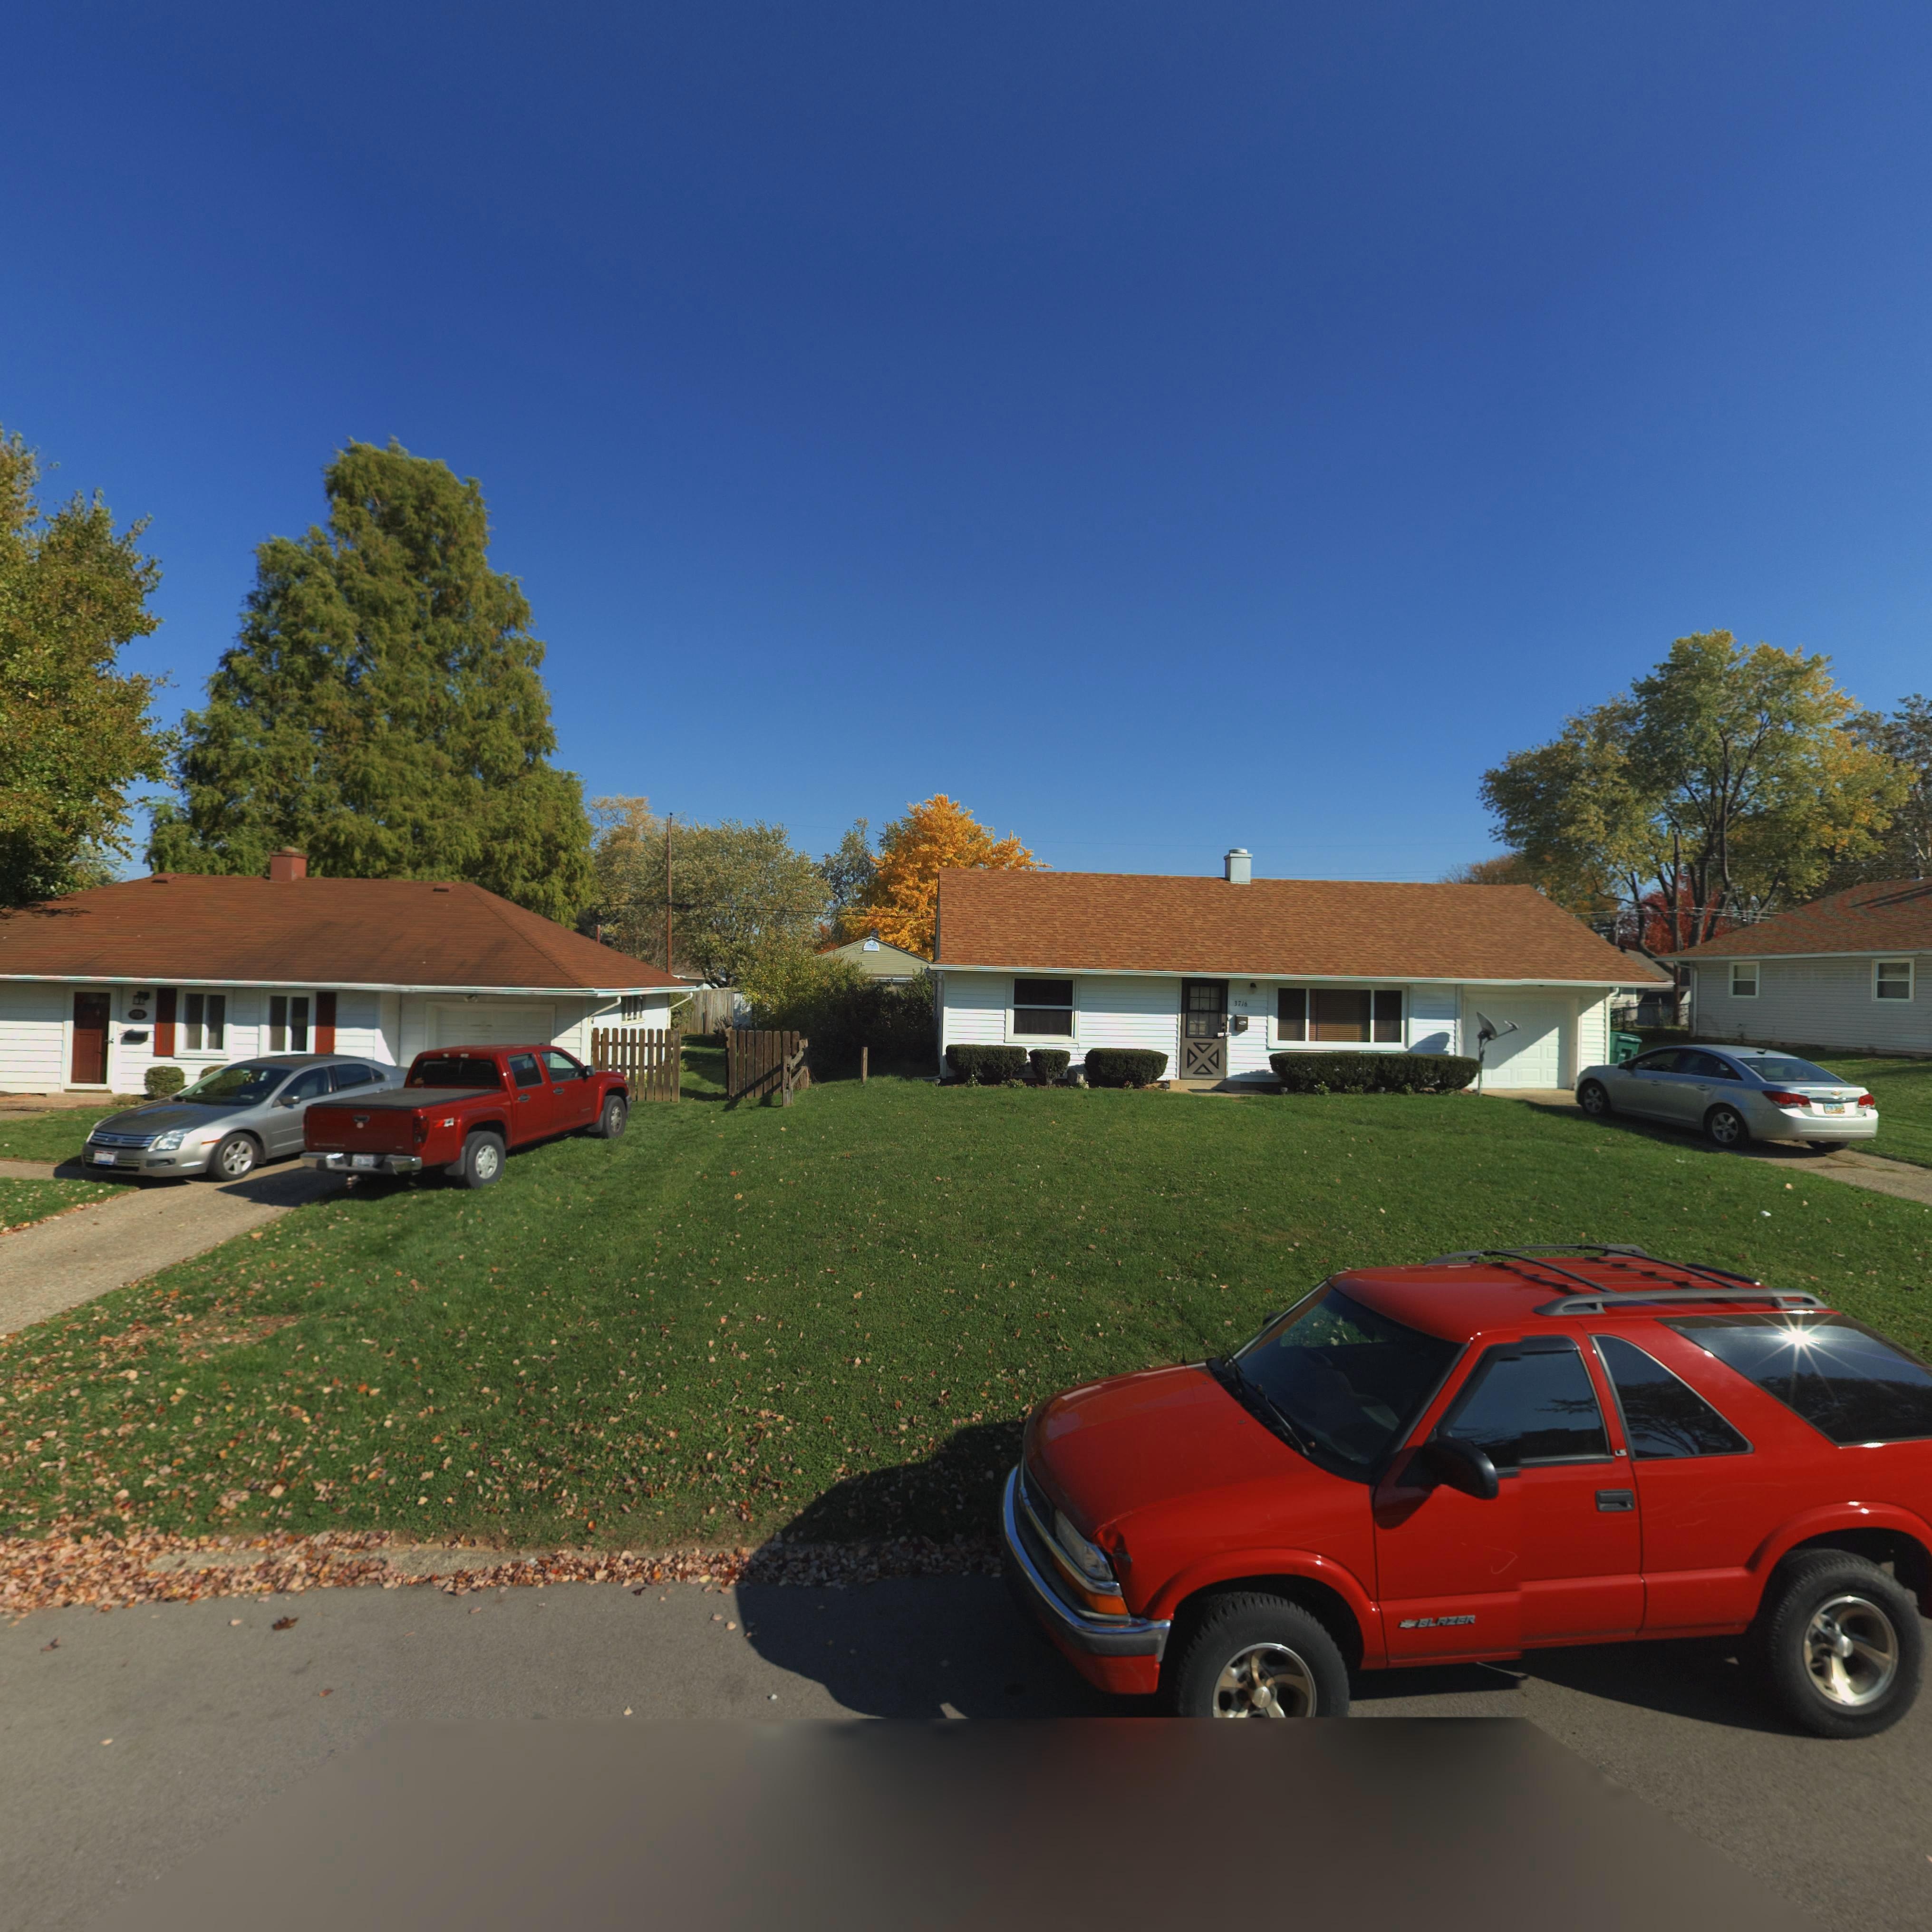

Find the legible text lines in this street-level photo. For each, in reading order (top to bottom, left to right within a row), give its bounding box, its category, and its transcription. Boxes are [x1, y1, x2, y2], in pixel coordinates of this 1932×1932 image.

[1234, 1000, 1247, 1006] StreetNumber: 3716
[1417, 1614, 1478, 1629] None: BLAZER